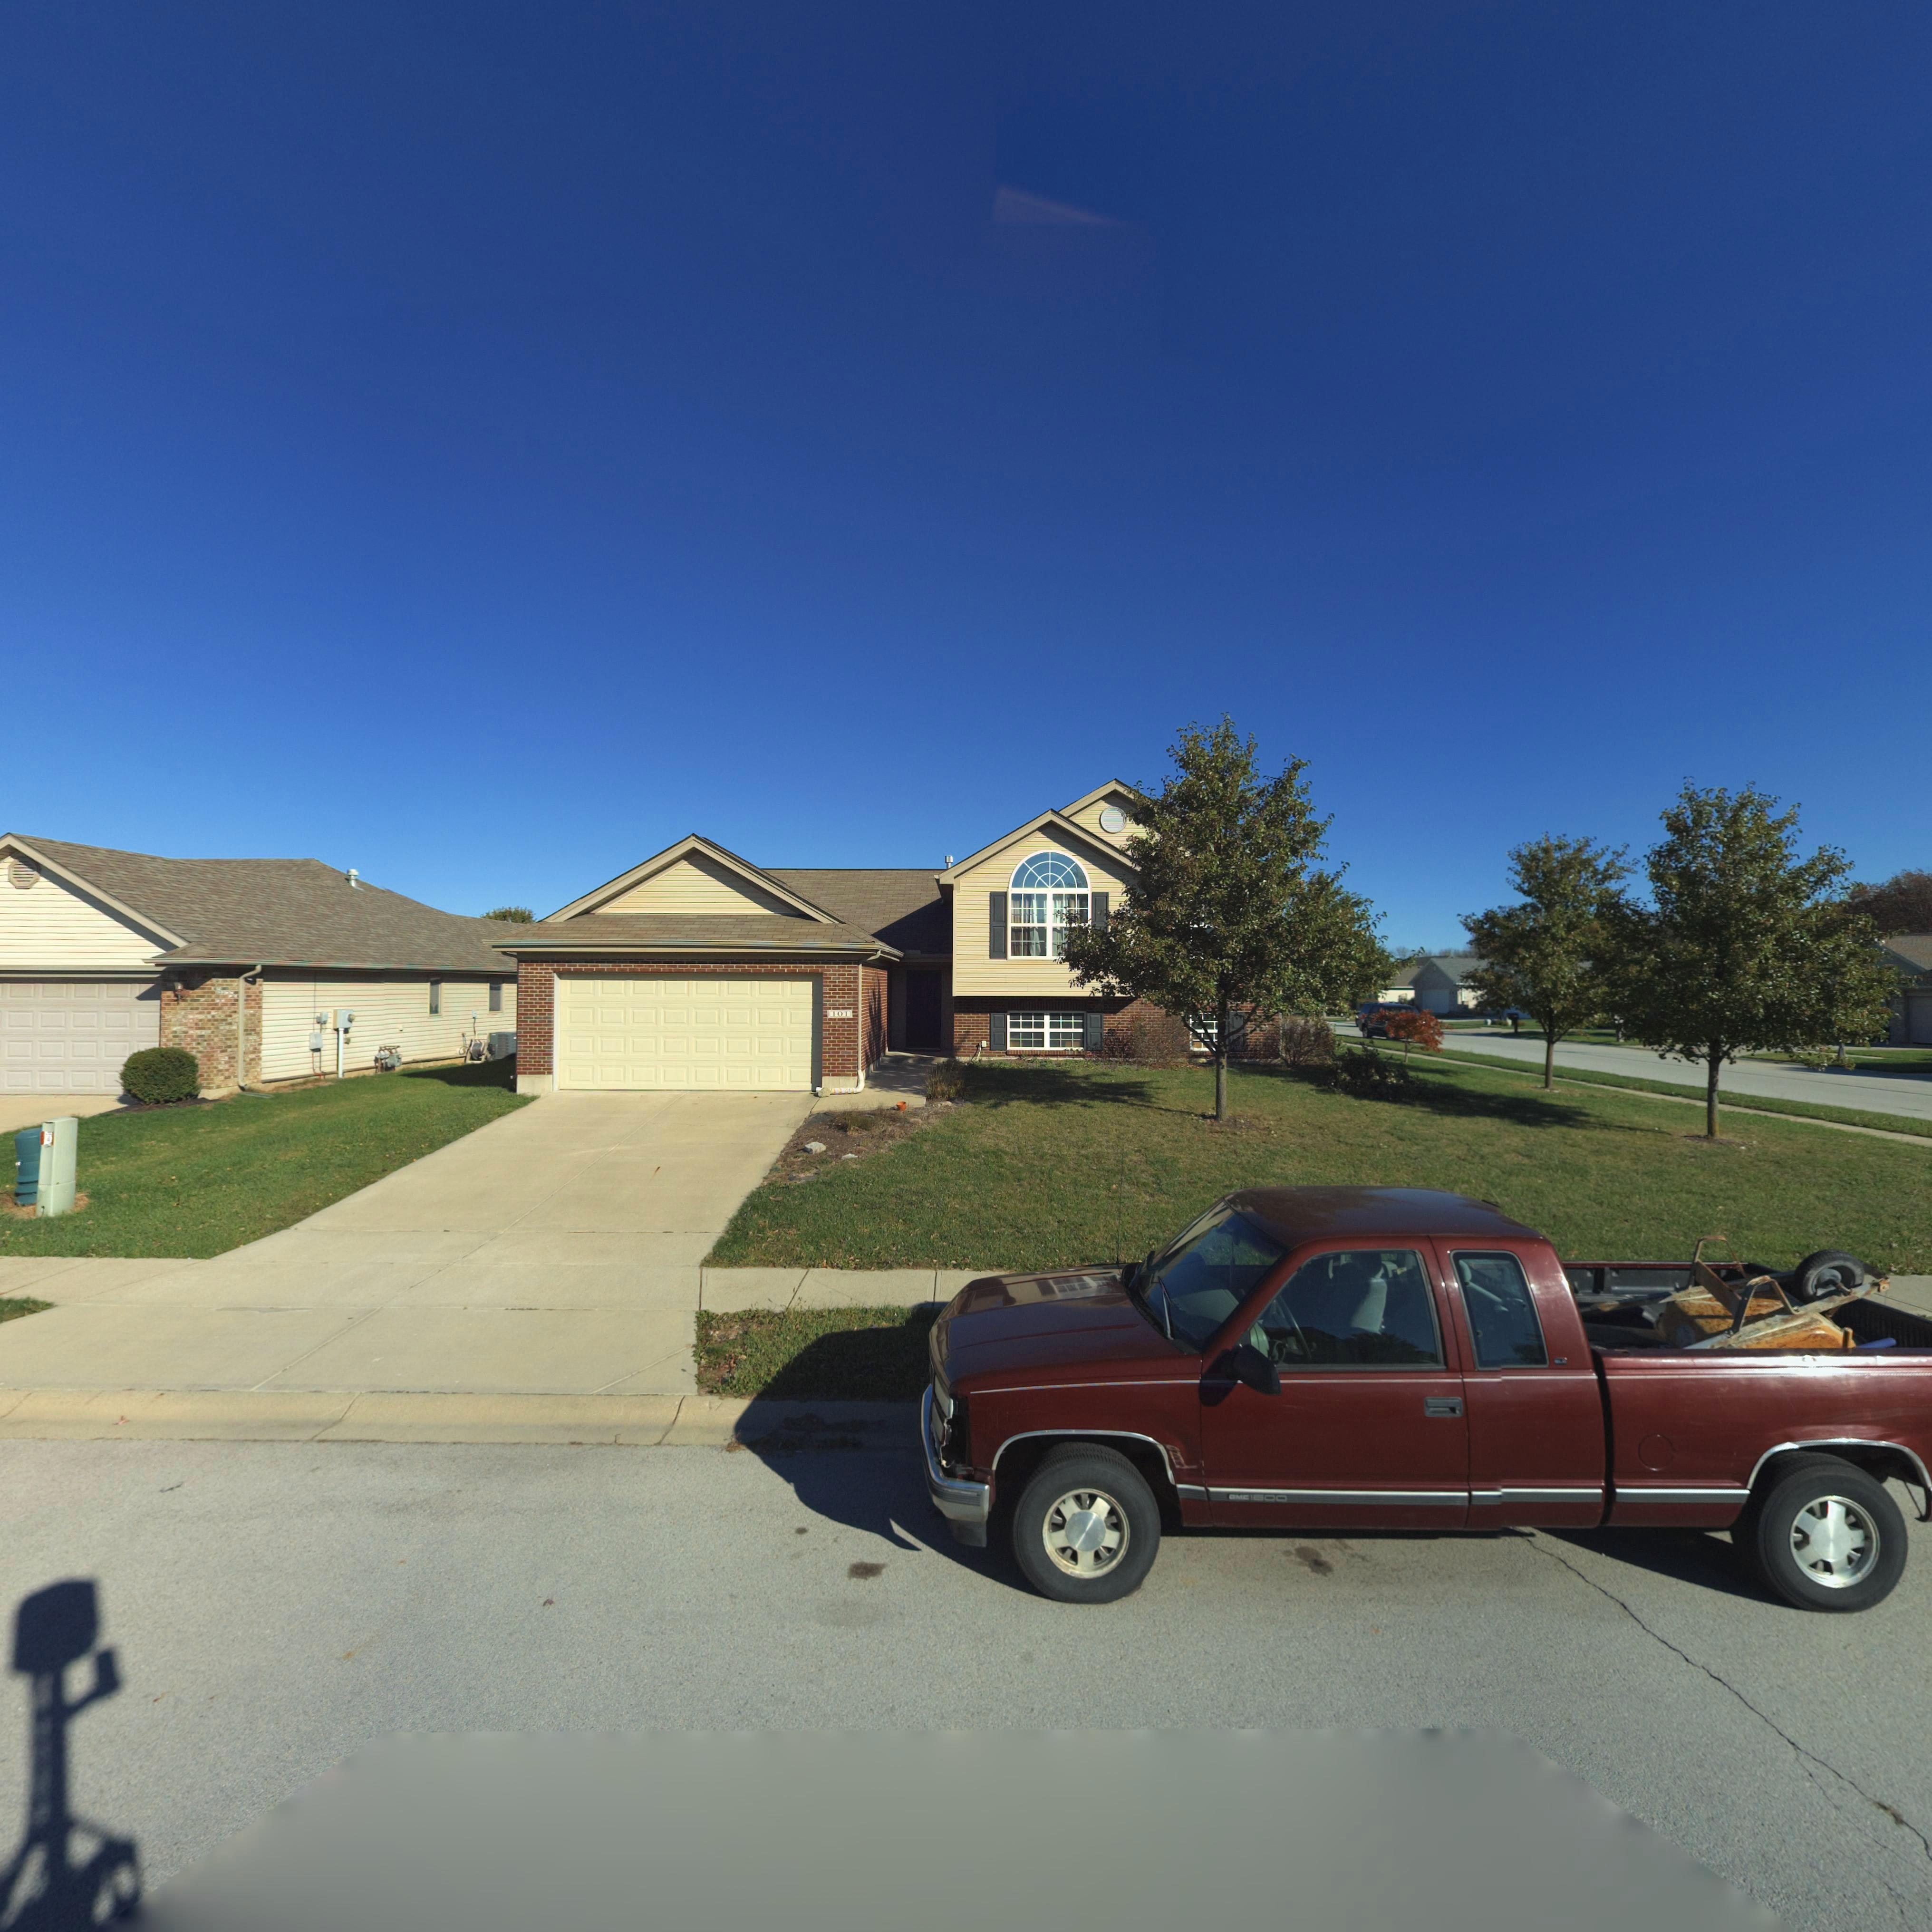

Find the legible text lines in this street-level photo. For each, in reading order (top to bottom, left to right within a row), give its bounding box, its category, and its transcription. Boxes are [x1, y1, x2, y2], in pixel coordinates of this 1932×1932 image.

[832, 1010, 848, 1017] StreetNumber: 101